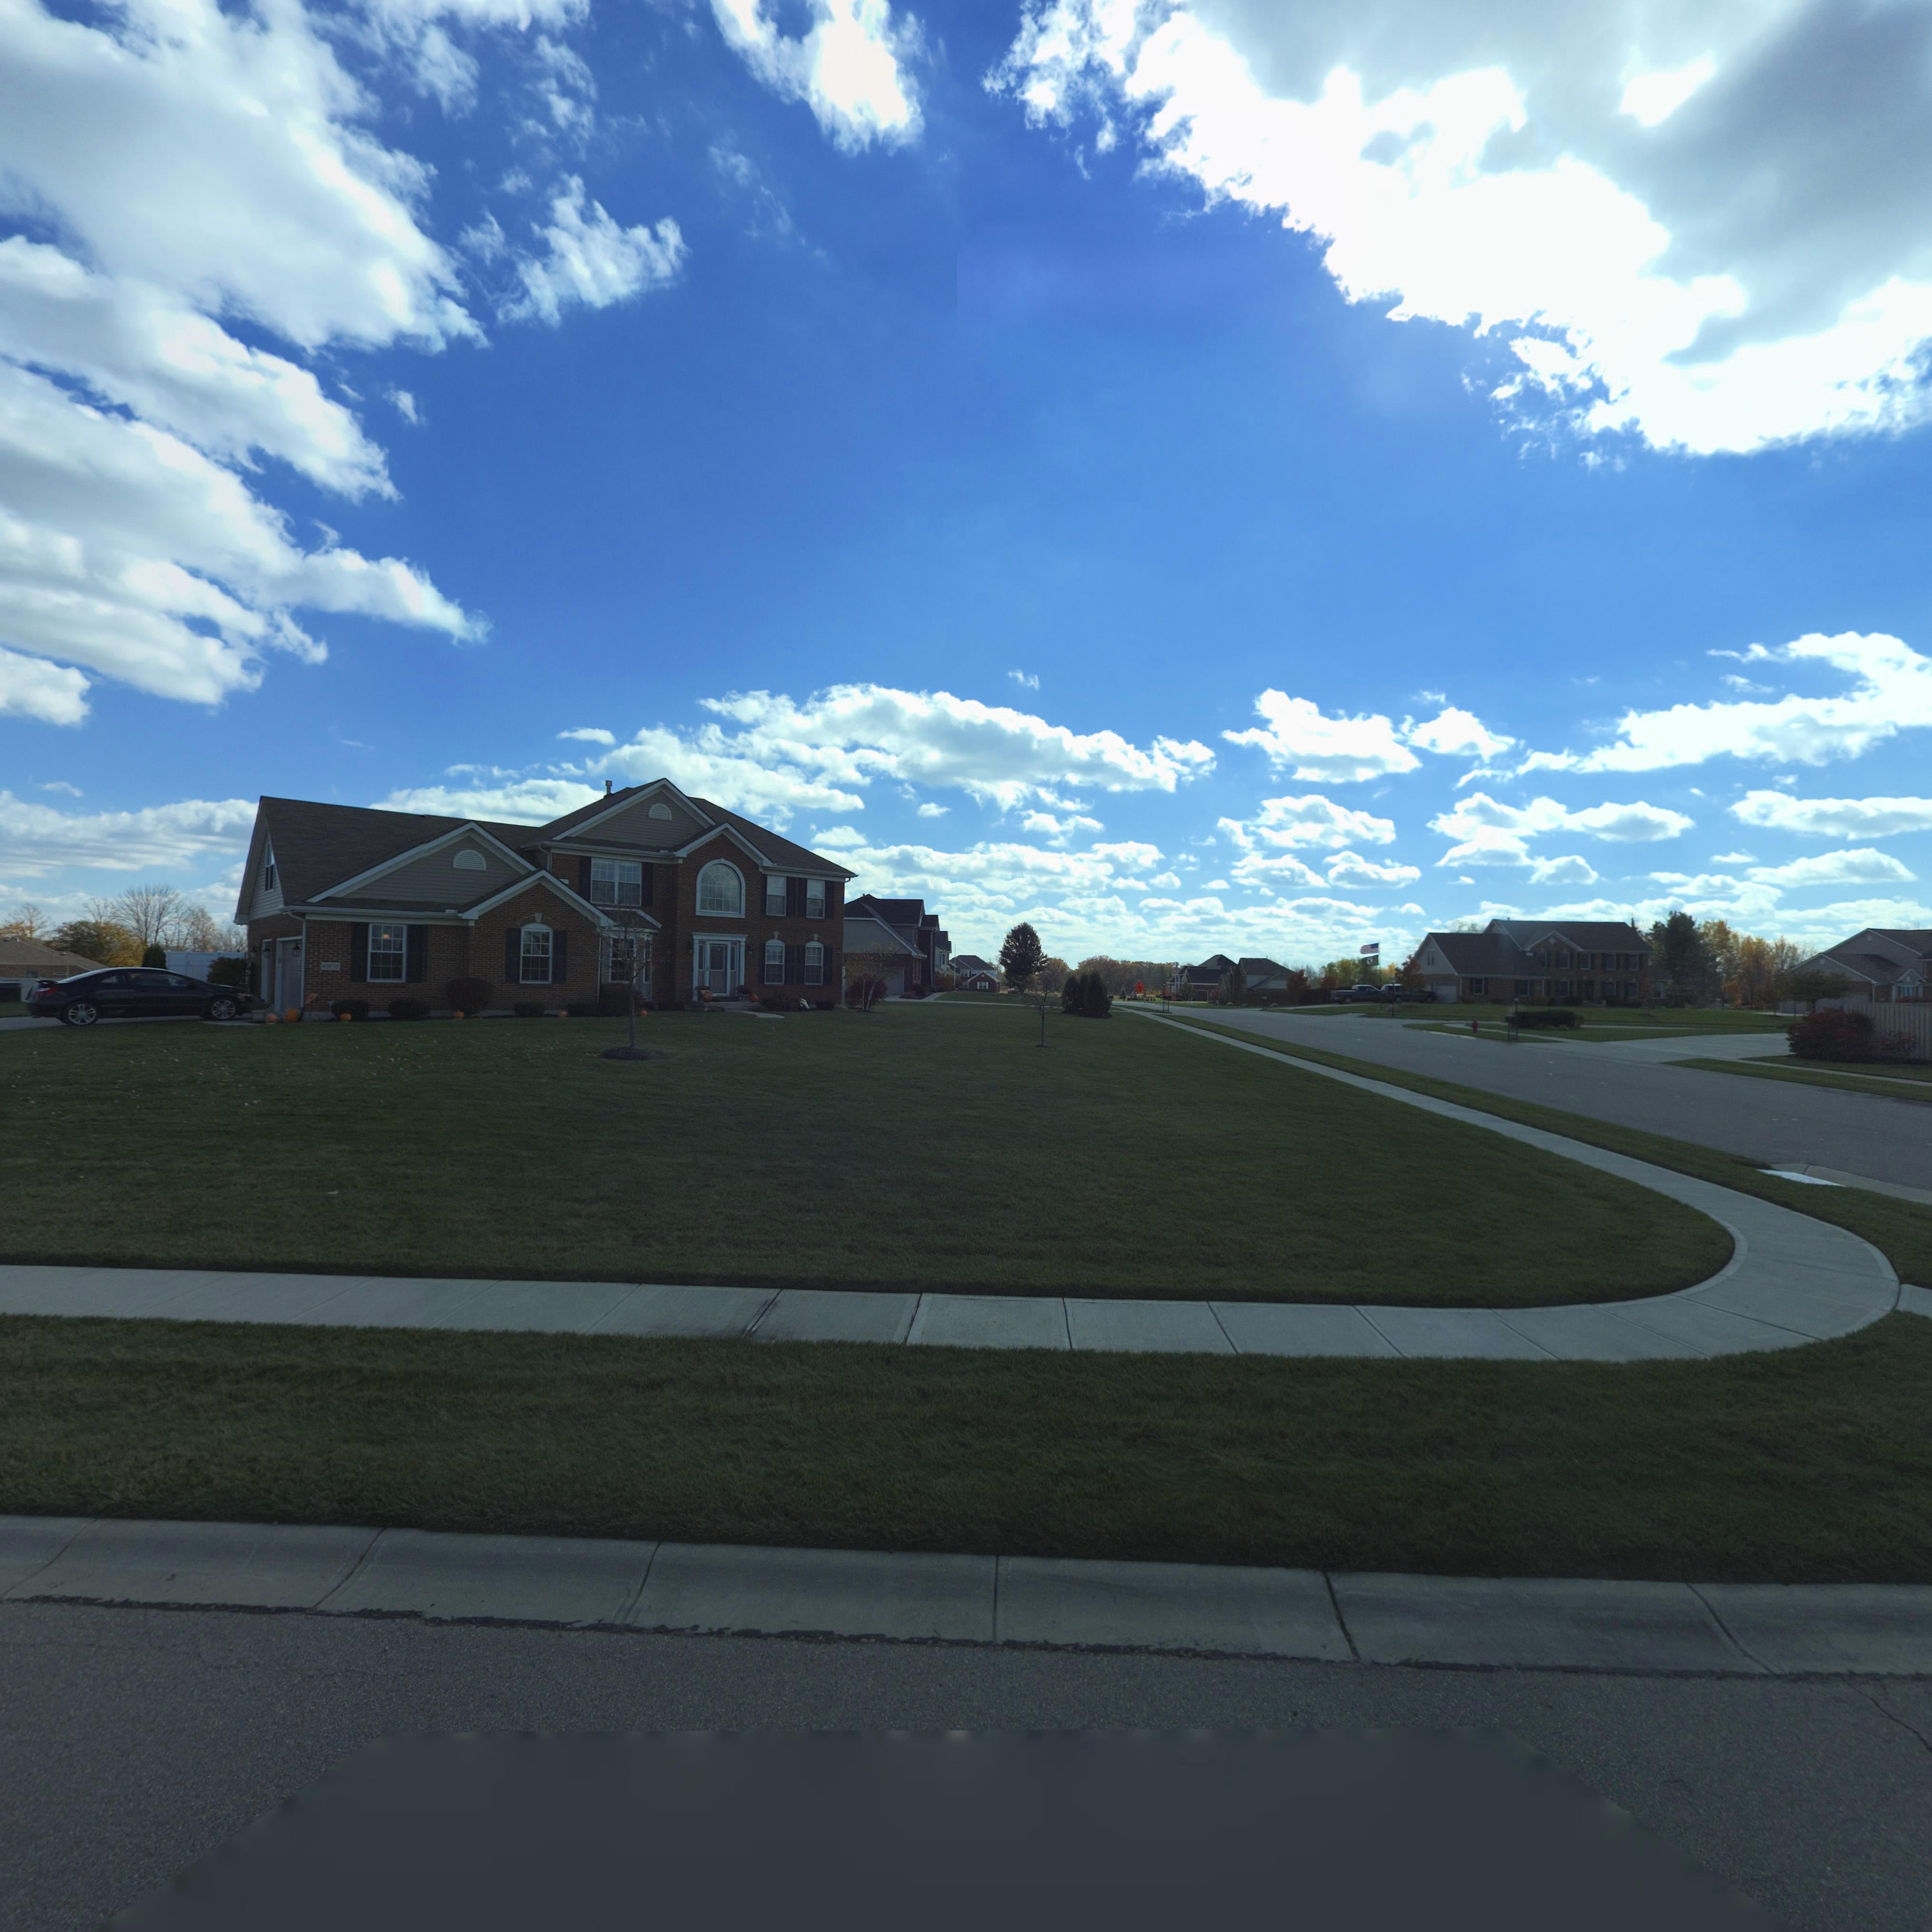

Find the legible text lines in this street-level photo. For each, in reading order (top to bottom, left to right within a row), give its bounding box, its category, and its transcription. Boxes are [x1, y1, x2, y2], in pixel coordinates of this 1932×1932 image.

[322, 964, 339, 969] StreetNumber: 6902